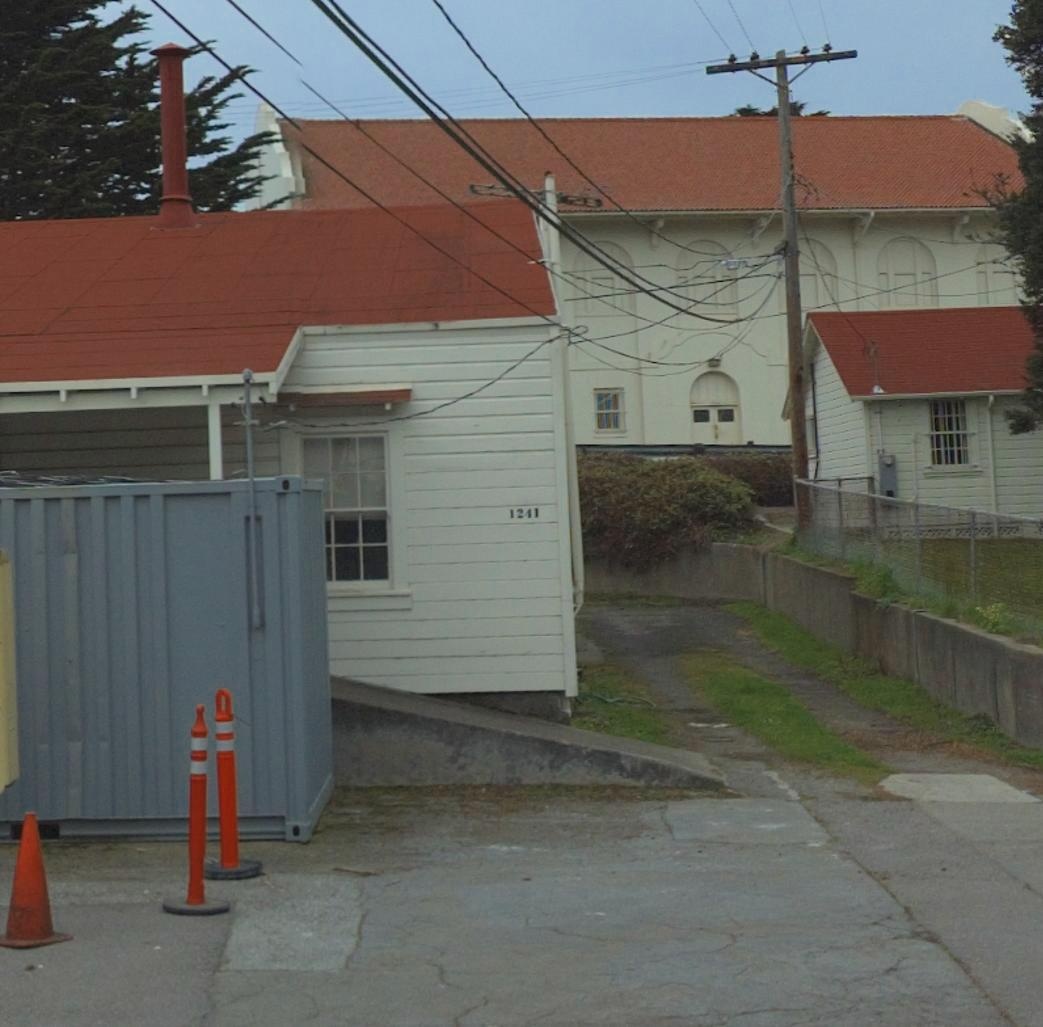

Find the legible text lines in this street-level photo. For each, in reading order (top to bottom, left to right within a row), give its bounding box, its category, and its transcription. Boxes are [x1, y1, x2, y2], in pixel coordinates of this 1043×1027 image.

[508, 505, 543, 522] StreetNumber: 1241